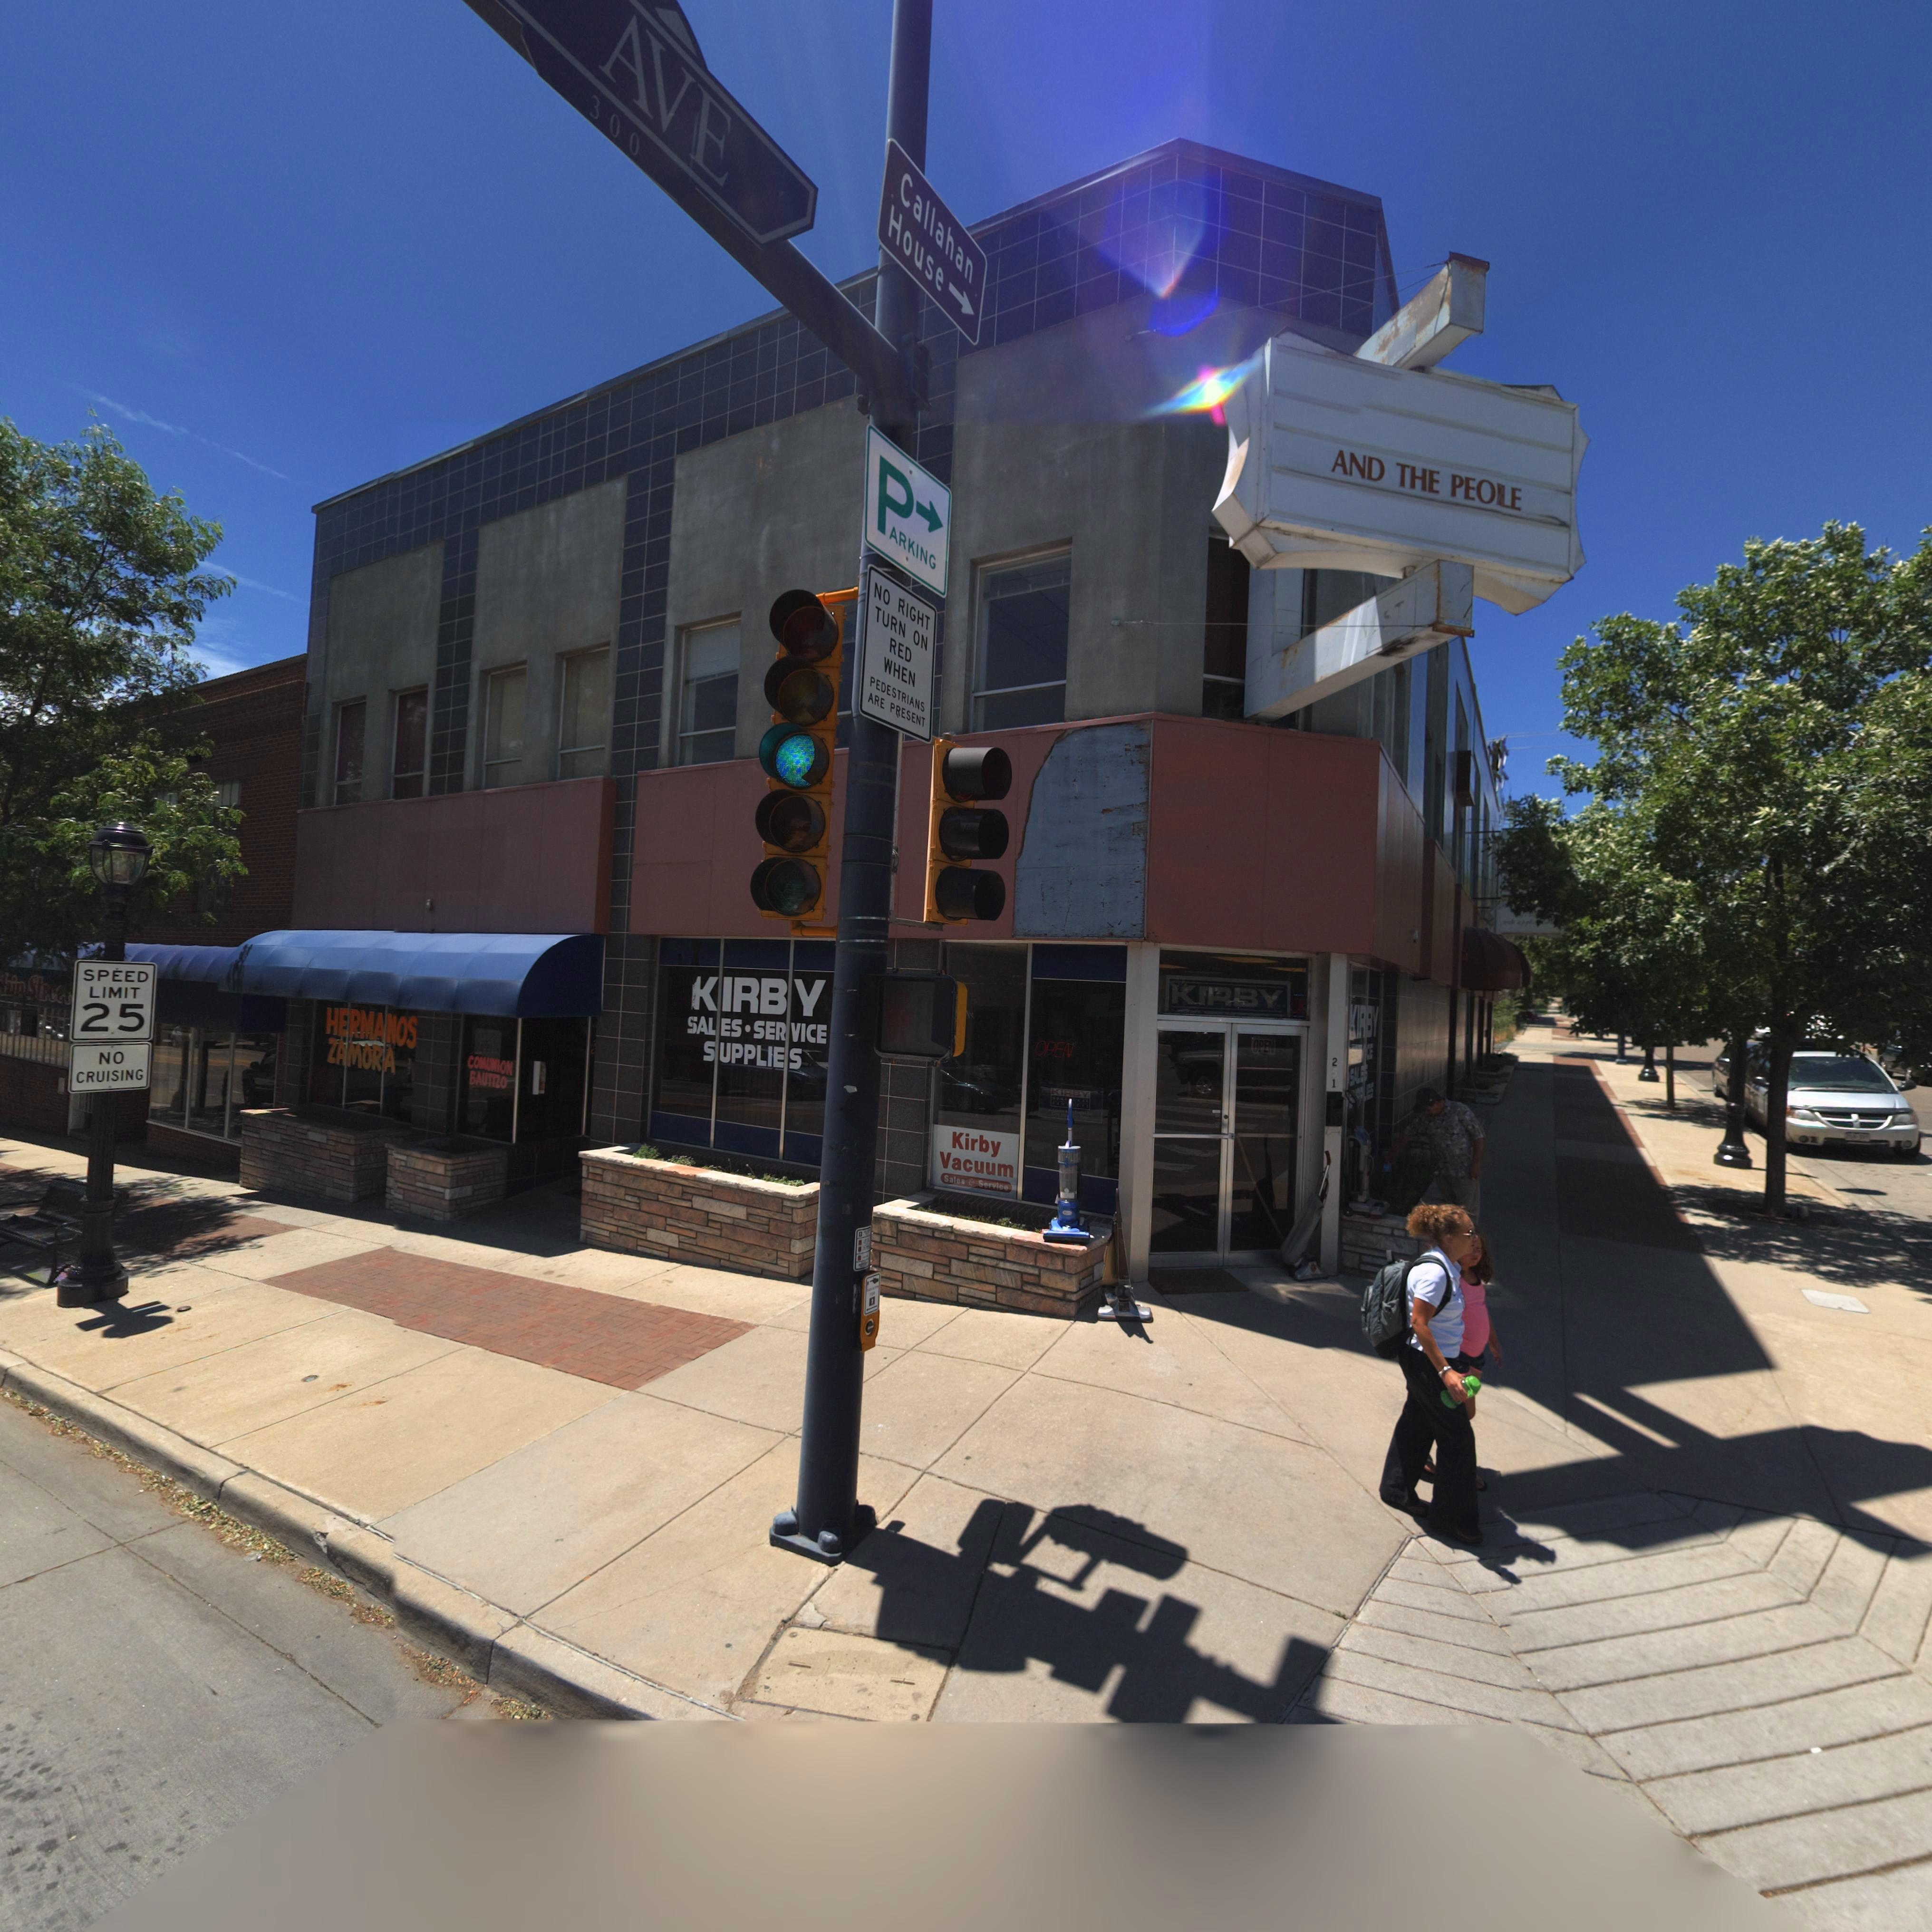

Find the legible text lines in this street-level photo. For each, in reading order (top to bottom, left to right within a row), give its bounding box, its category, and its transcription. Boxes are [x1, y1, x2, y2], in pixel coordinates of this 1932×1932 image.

[599, 13, 733, 192] StreetName: AVE
[587, 92, 642, 161] StreetNumberRange: 300
[3, 973, 73, 1004] BusinessName: *ain Street
[690, 975, 826, 1017] BusinessName: KIRBY
[1172, 984, 1282, 1008] BusinessName: KIRBY
[1348, 1004, 1379, 1040] BusinessName: KIRBY
[1331, 1057, 1337, 1088] StreetNumber: 251
[1052, 1088, 1089, 1097] BusinessName: KIRBY
[952, 1130, 1002, 1158] BusinessName: Kirby
[939, 1150, 1013, 1179] BusinessName: Vacuum